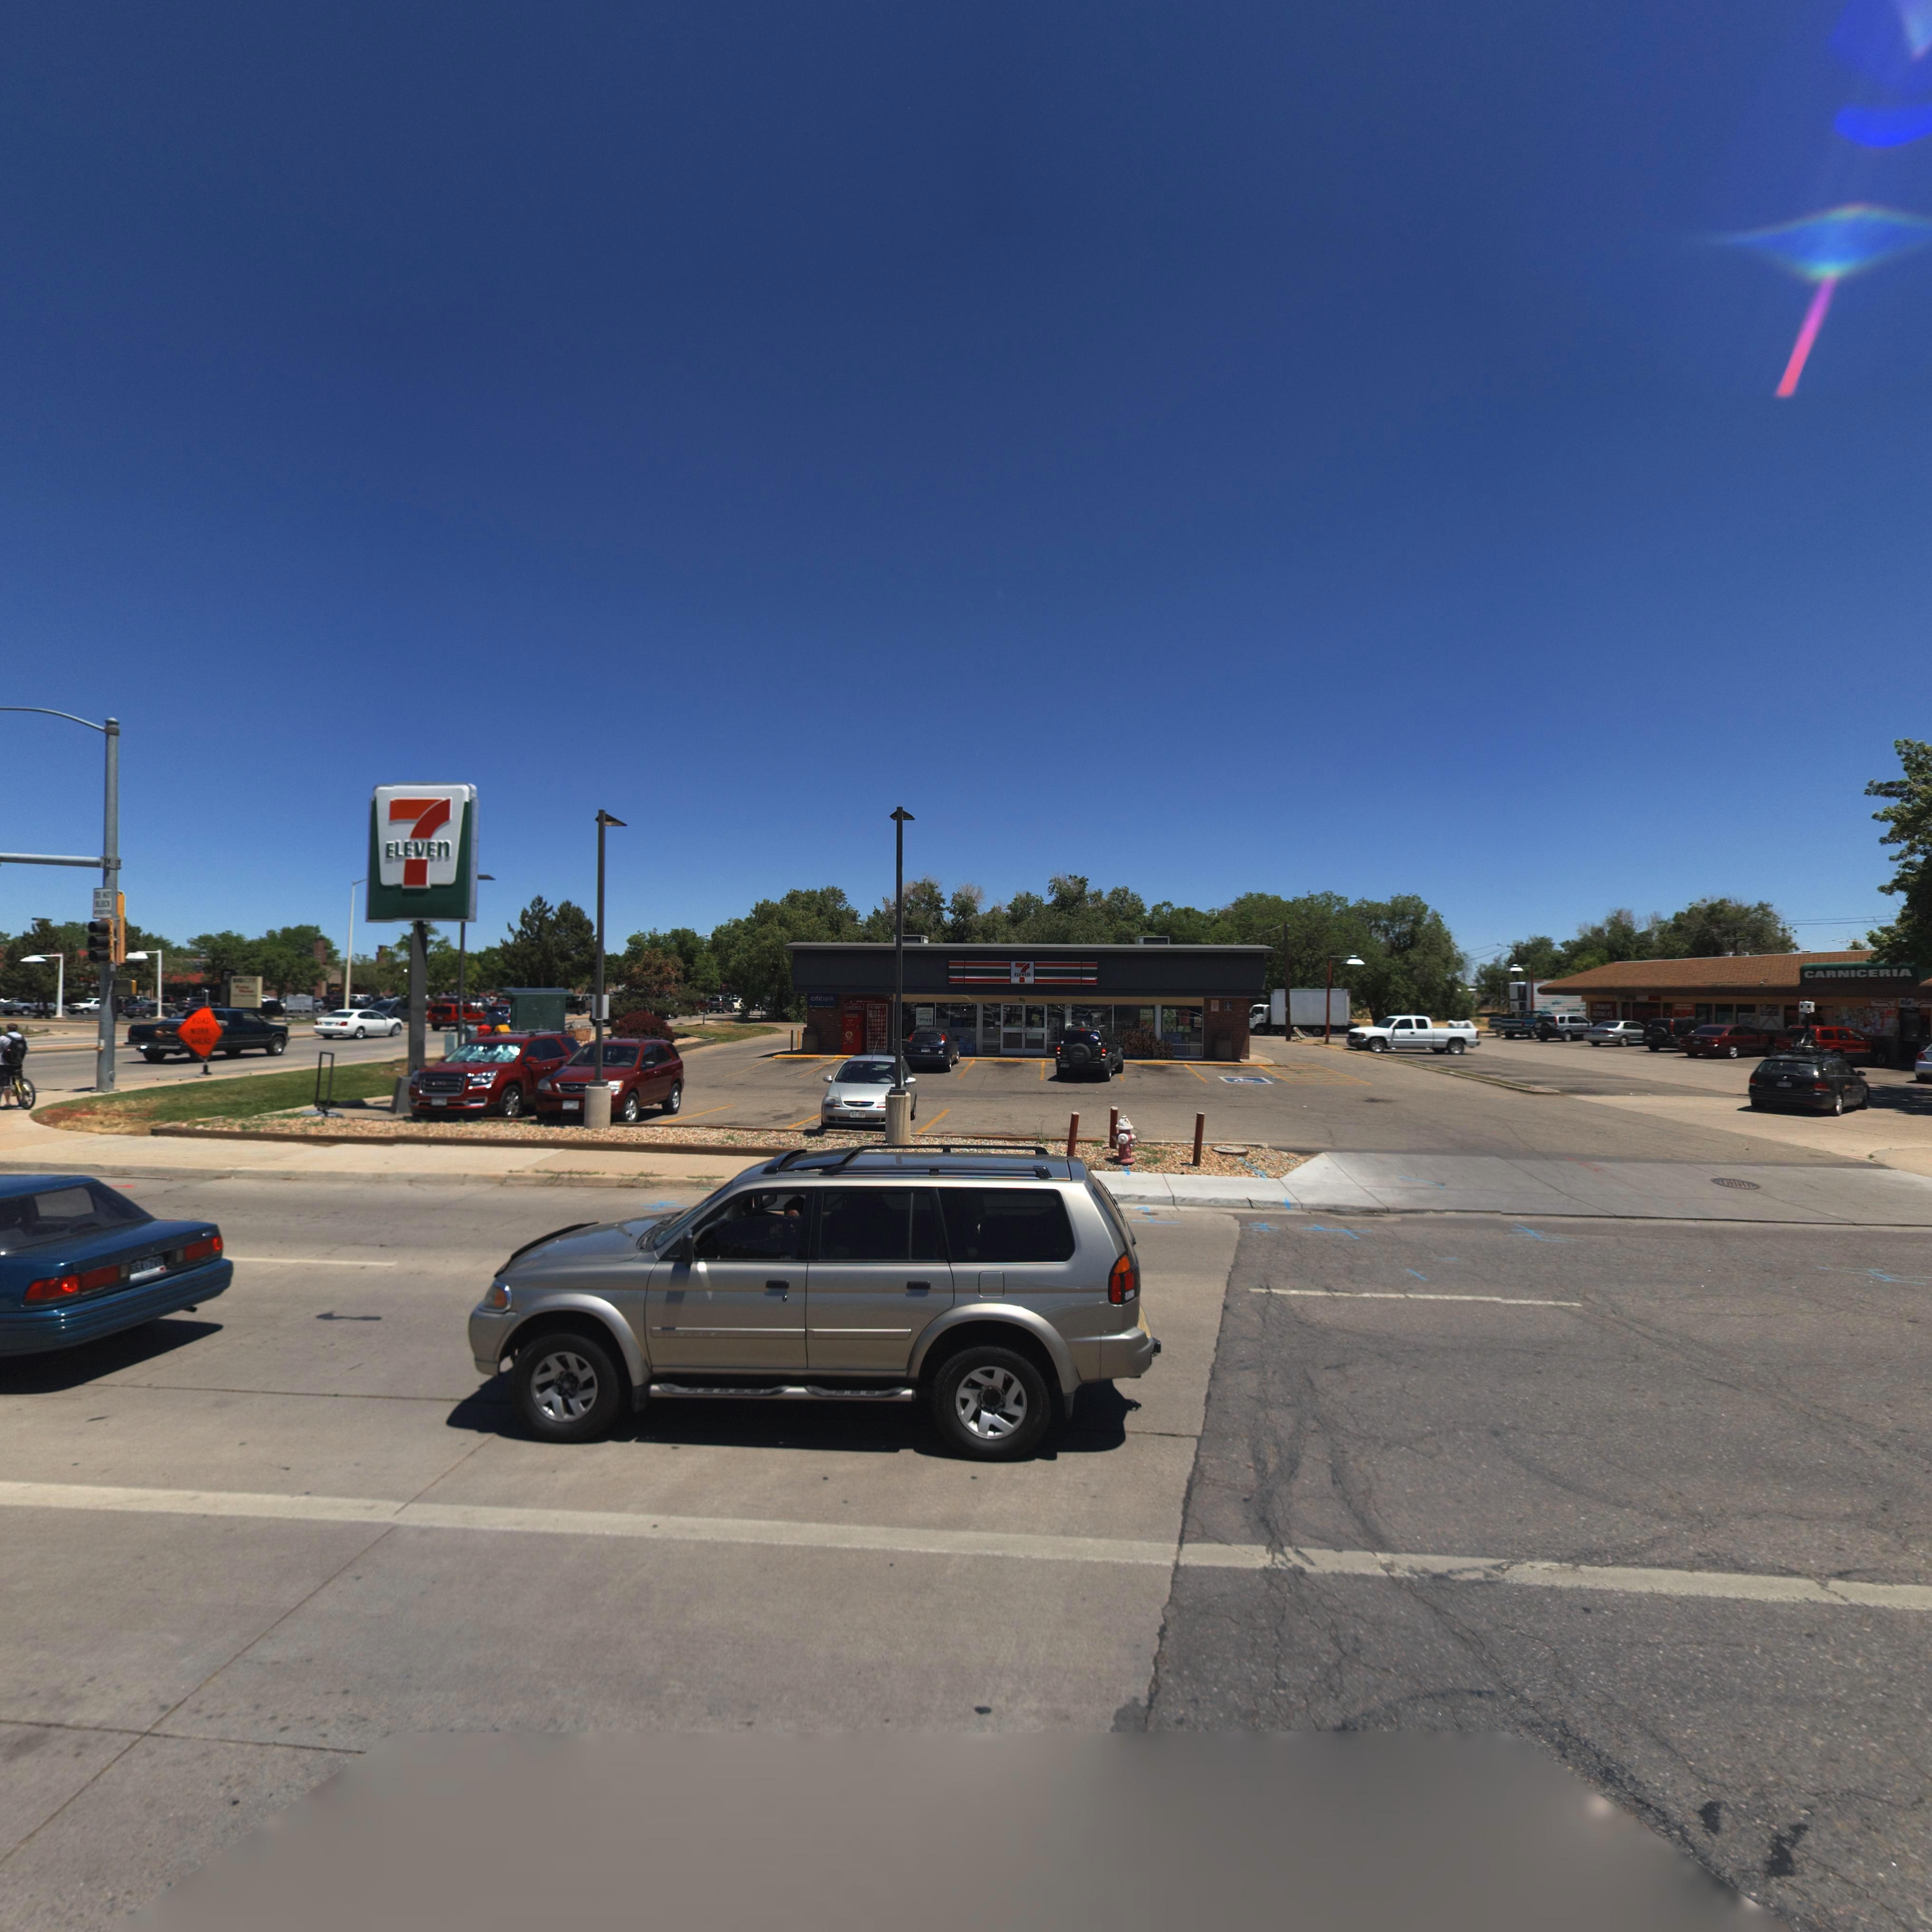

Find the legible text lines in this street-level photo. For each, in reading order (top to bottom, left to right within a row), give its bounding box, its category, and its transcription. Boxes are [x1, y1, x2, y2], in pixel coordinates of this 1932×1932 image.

[388, 796, 454, 889] BusinessName: 7
[384, 839, 452, 858] BusinessName: ELEVEn
[1014, 972, 1030, 976] BusinessName: ELEVEn
[1014, 962, 1030, 983] BusinessName: 7
[232, 977, 256, 983] BusinessName: BIGLOTS!
[234, 984, 249, 988] BusinessName: L**k***
[238, 988, 254, 993] BusinessName: M*****